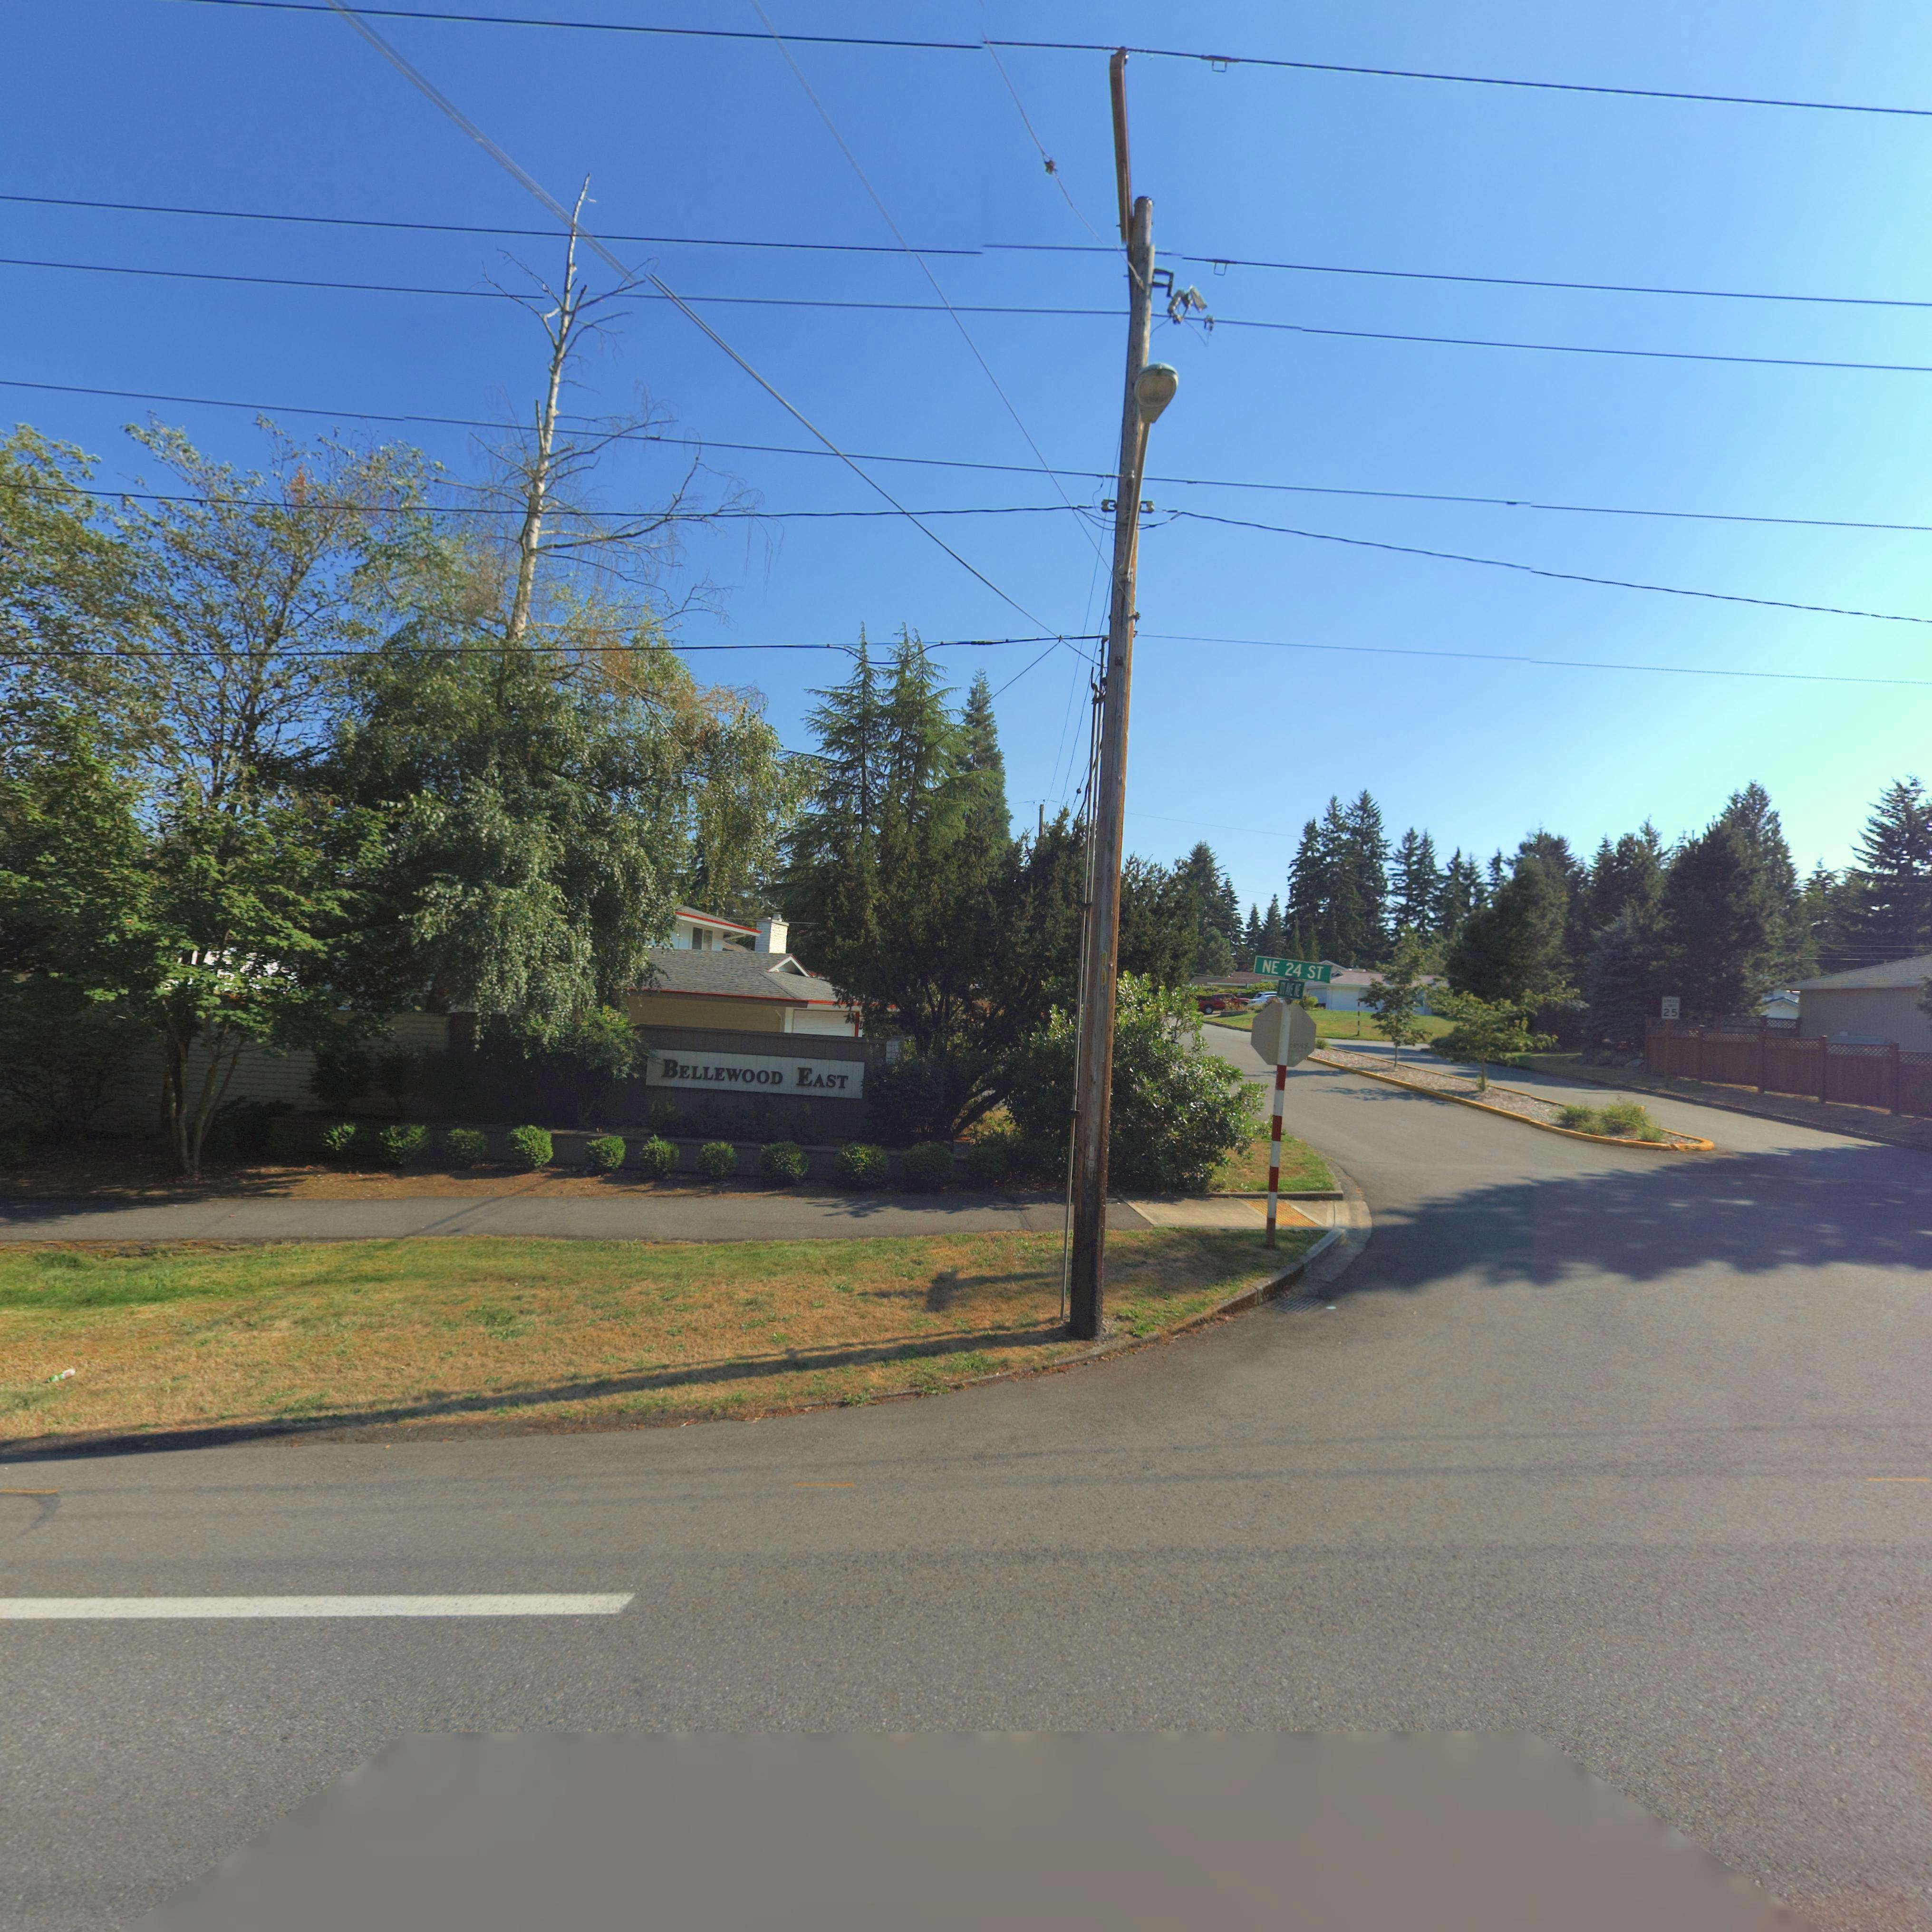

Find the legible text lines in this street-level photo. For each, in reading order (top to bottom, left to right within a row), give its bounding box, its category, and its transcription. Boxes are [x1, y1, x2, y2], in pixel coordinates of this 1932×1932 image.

[655, 1056, 786, 1088] None: BELLEWOOD
[792, 1067, 849, 1089] None: EAST